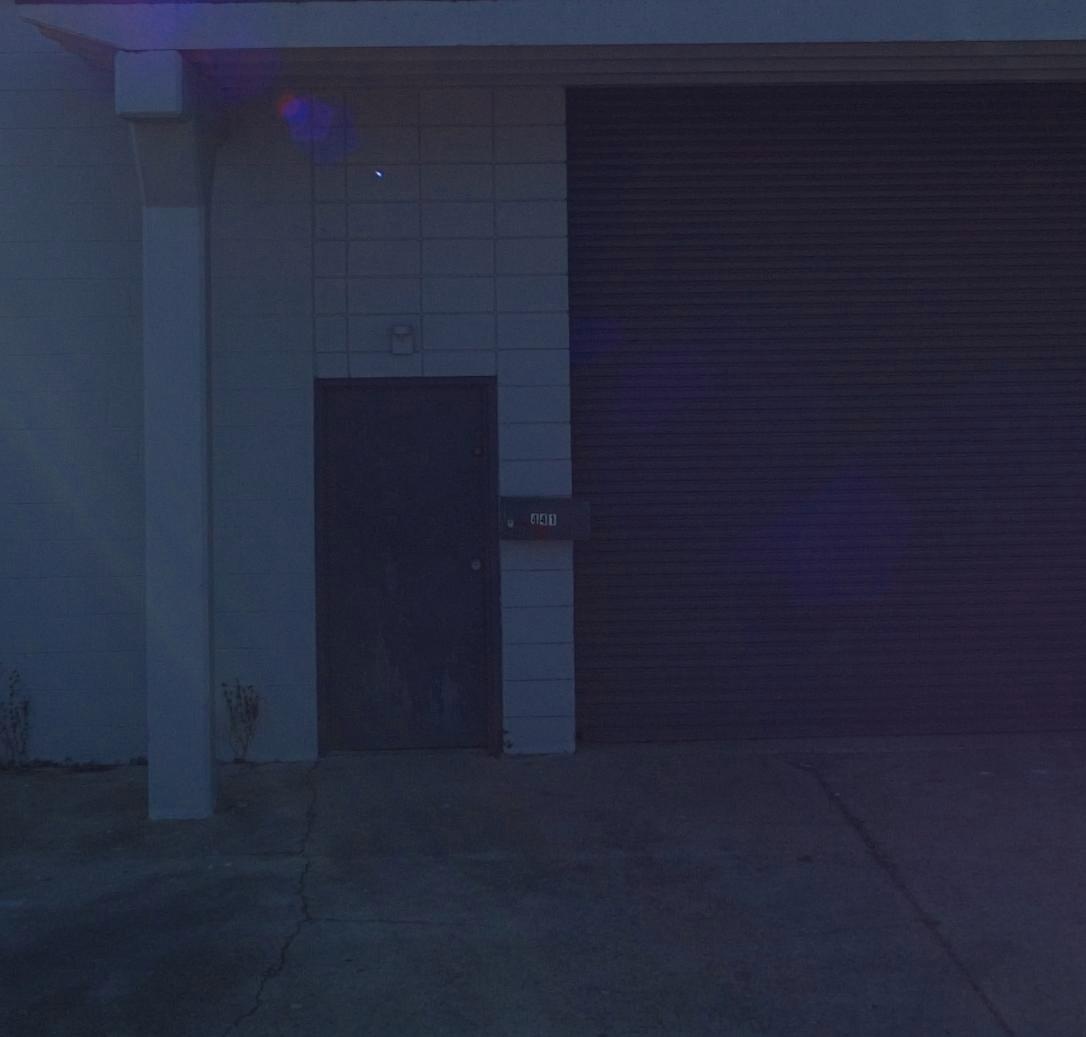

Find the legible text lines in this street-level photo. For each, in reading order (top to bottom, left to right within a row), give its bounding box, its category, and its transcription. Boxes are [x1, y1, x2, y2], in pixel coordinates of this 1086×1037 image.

[530, 512, 556, 527] StreetNumber: 441